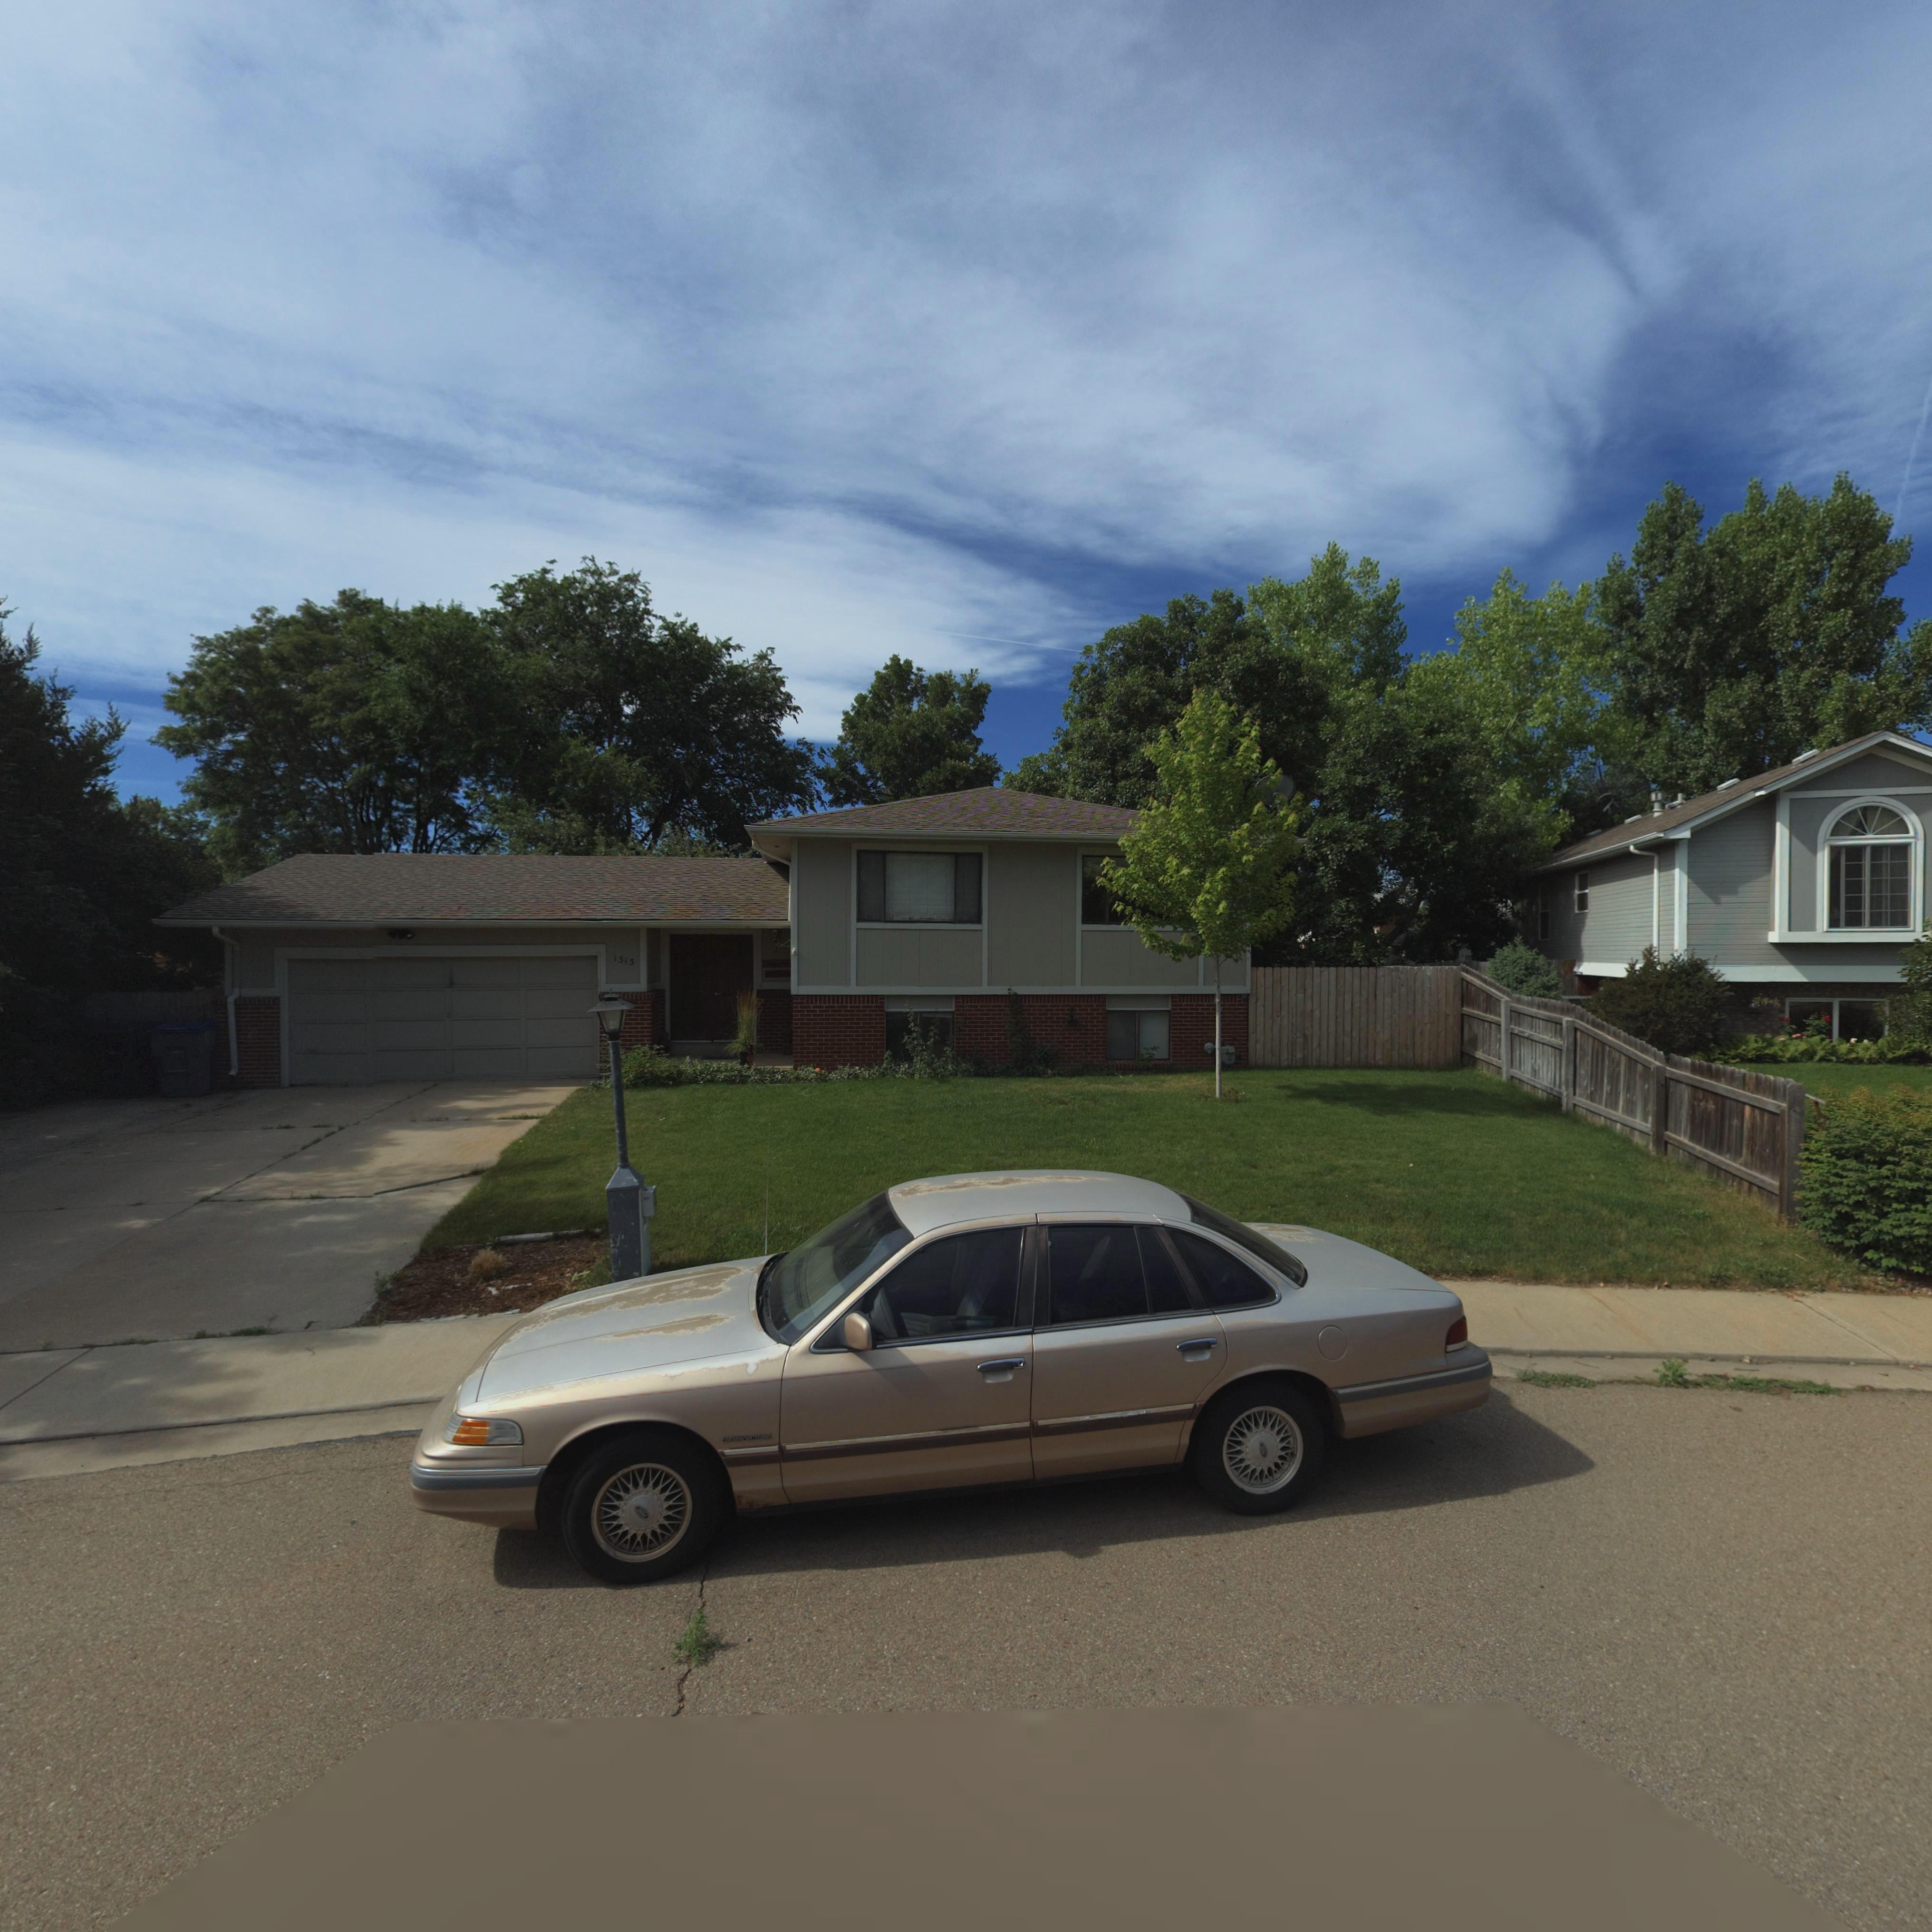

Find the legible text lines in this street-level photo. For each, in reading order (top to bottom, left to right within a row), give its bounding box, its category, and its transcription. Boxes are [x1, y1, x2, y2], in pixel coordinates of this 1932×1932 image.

[613, 954, 634, 966] StreetNumber: 1313